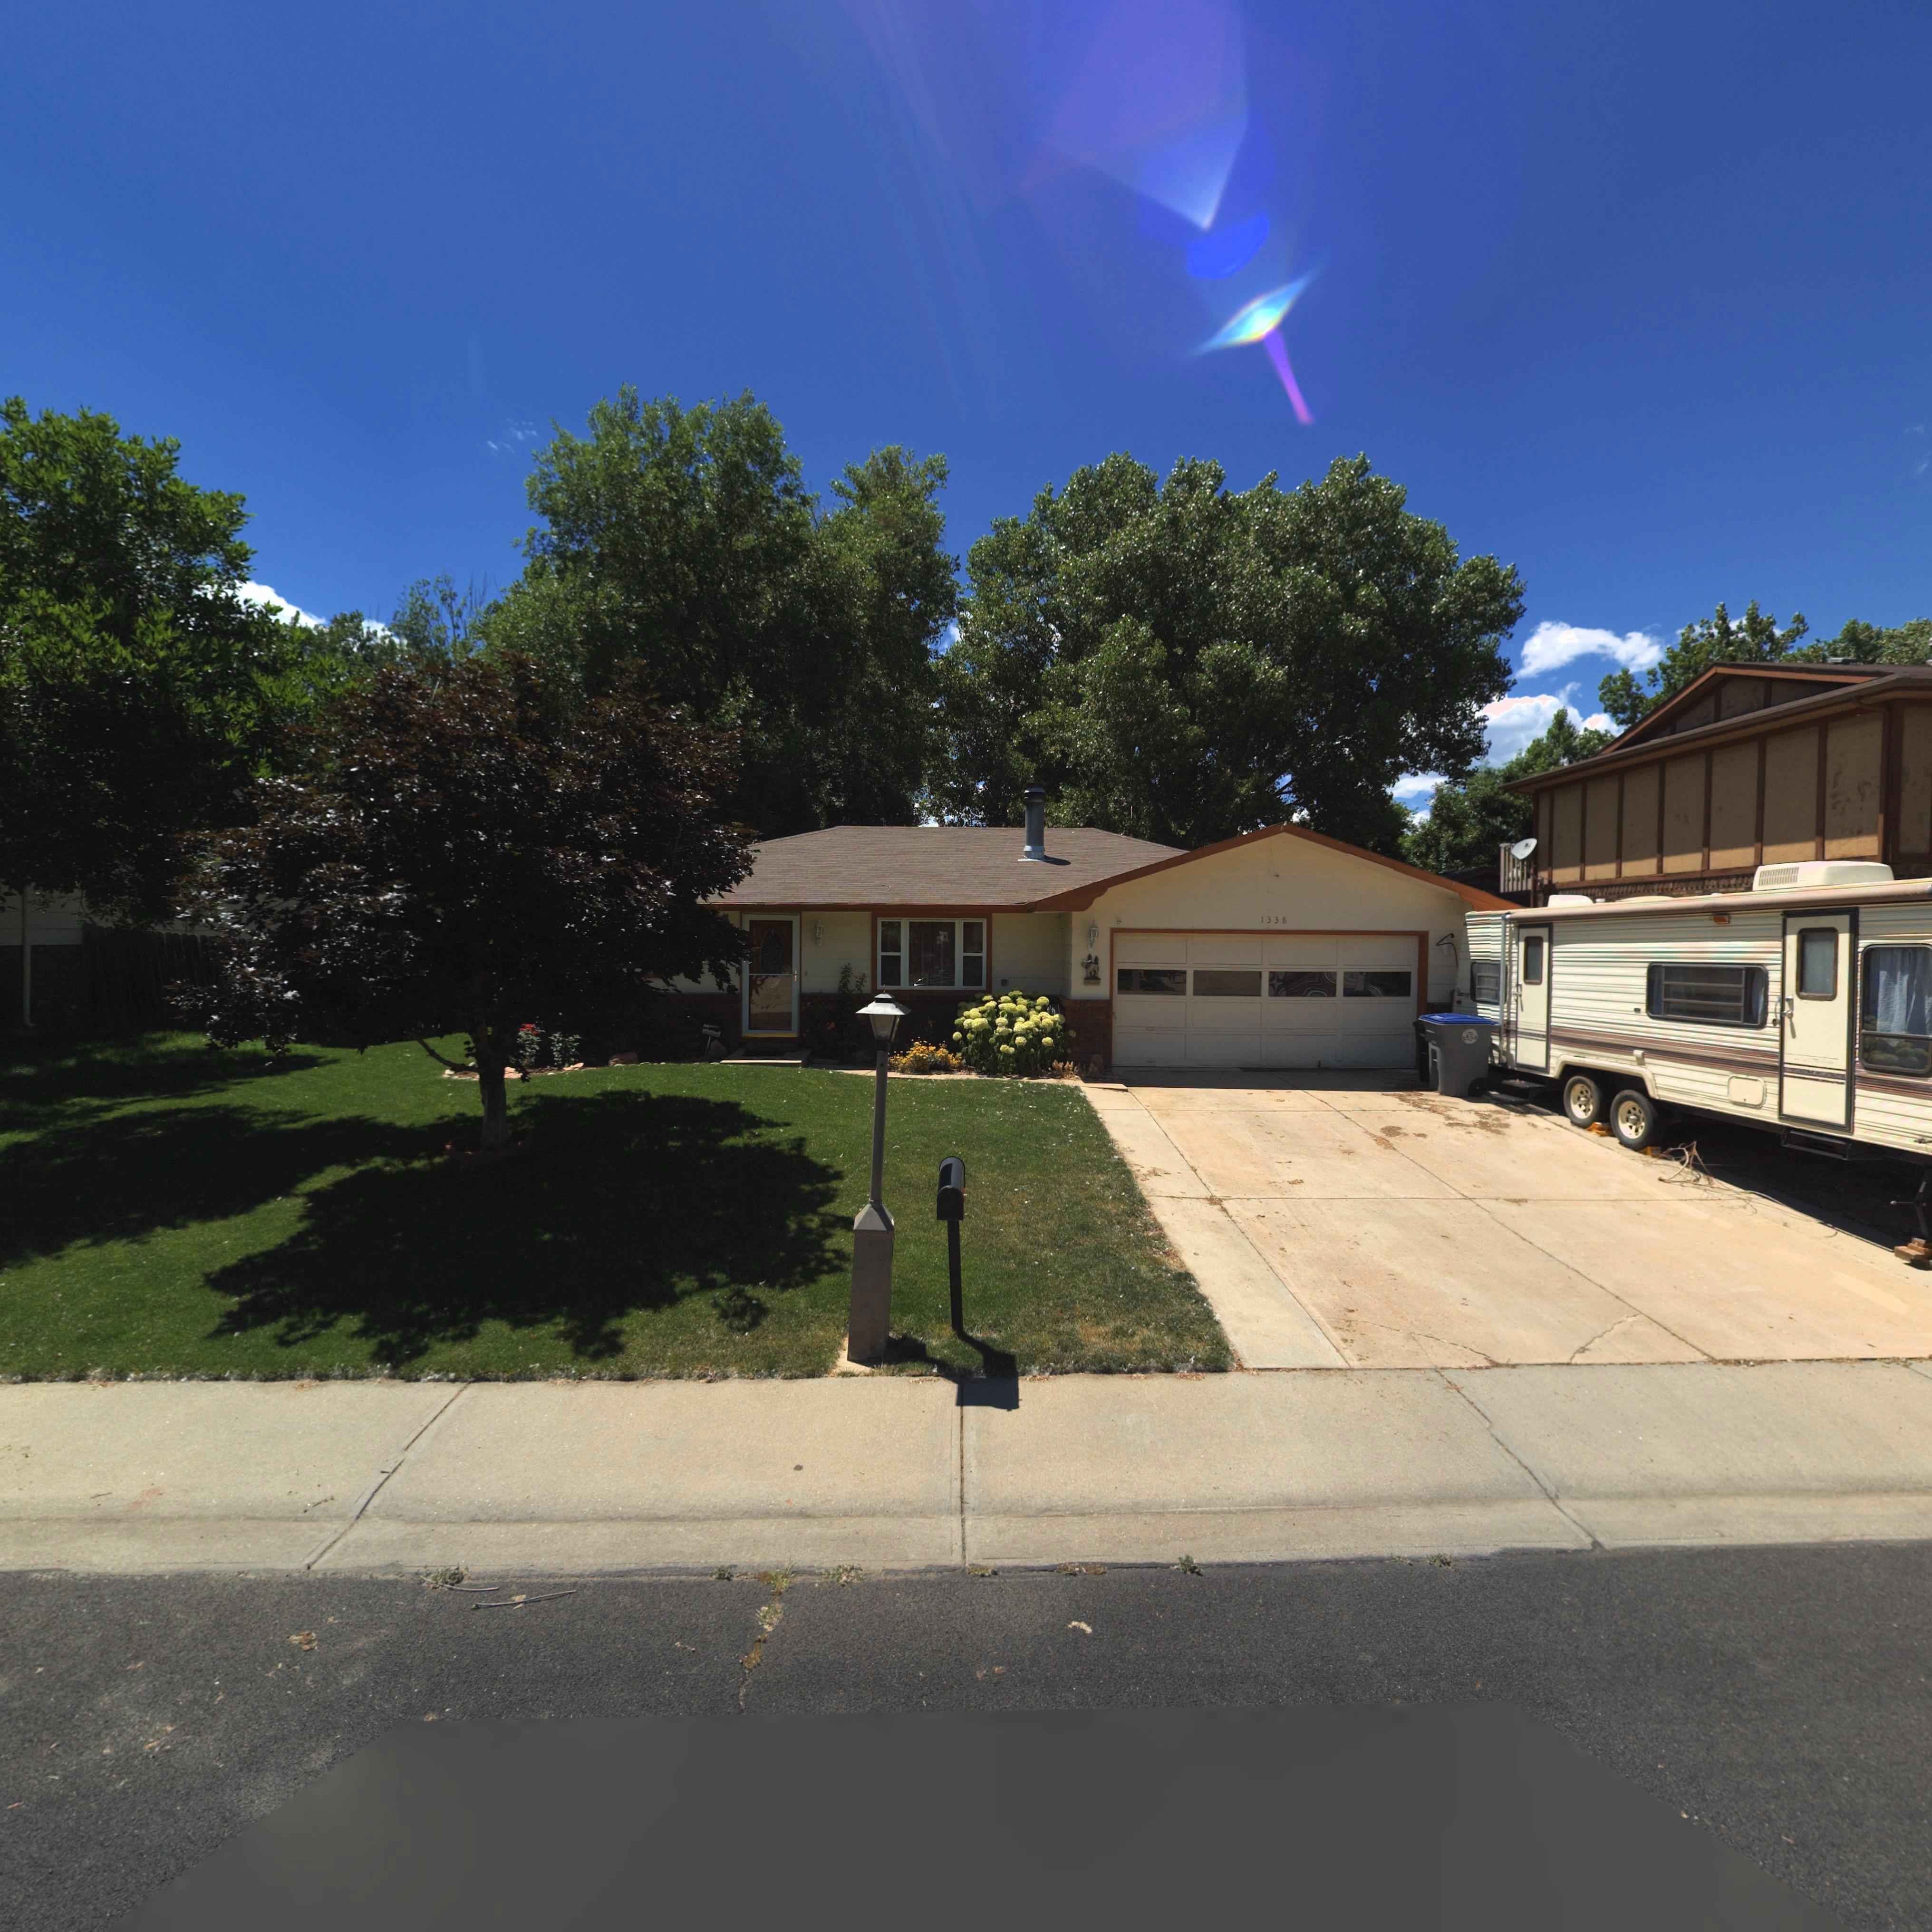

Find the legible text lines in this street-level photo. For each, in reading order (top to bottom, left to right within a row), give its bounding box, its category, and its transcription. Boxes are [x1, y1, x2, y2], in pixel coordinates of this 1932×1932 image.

[1260, 915, 1286, 924] StreetNumber: 1338